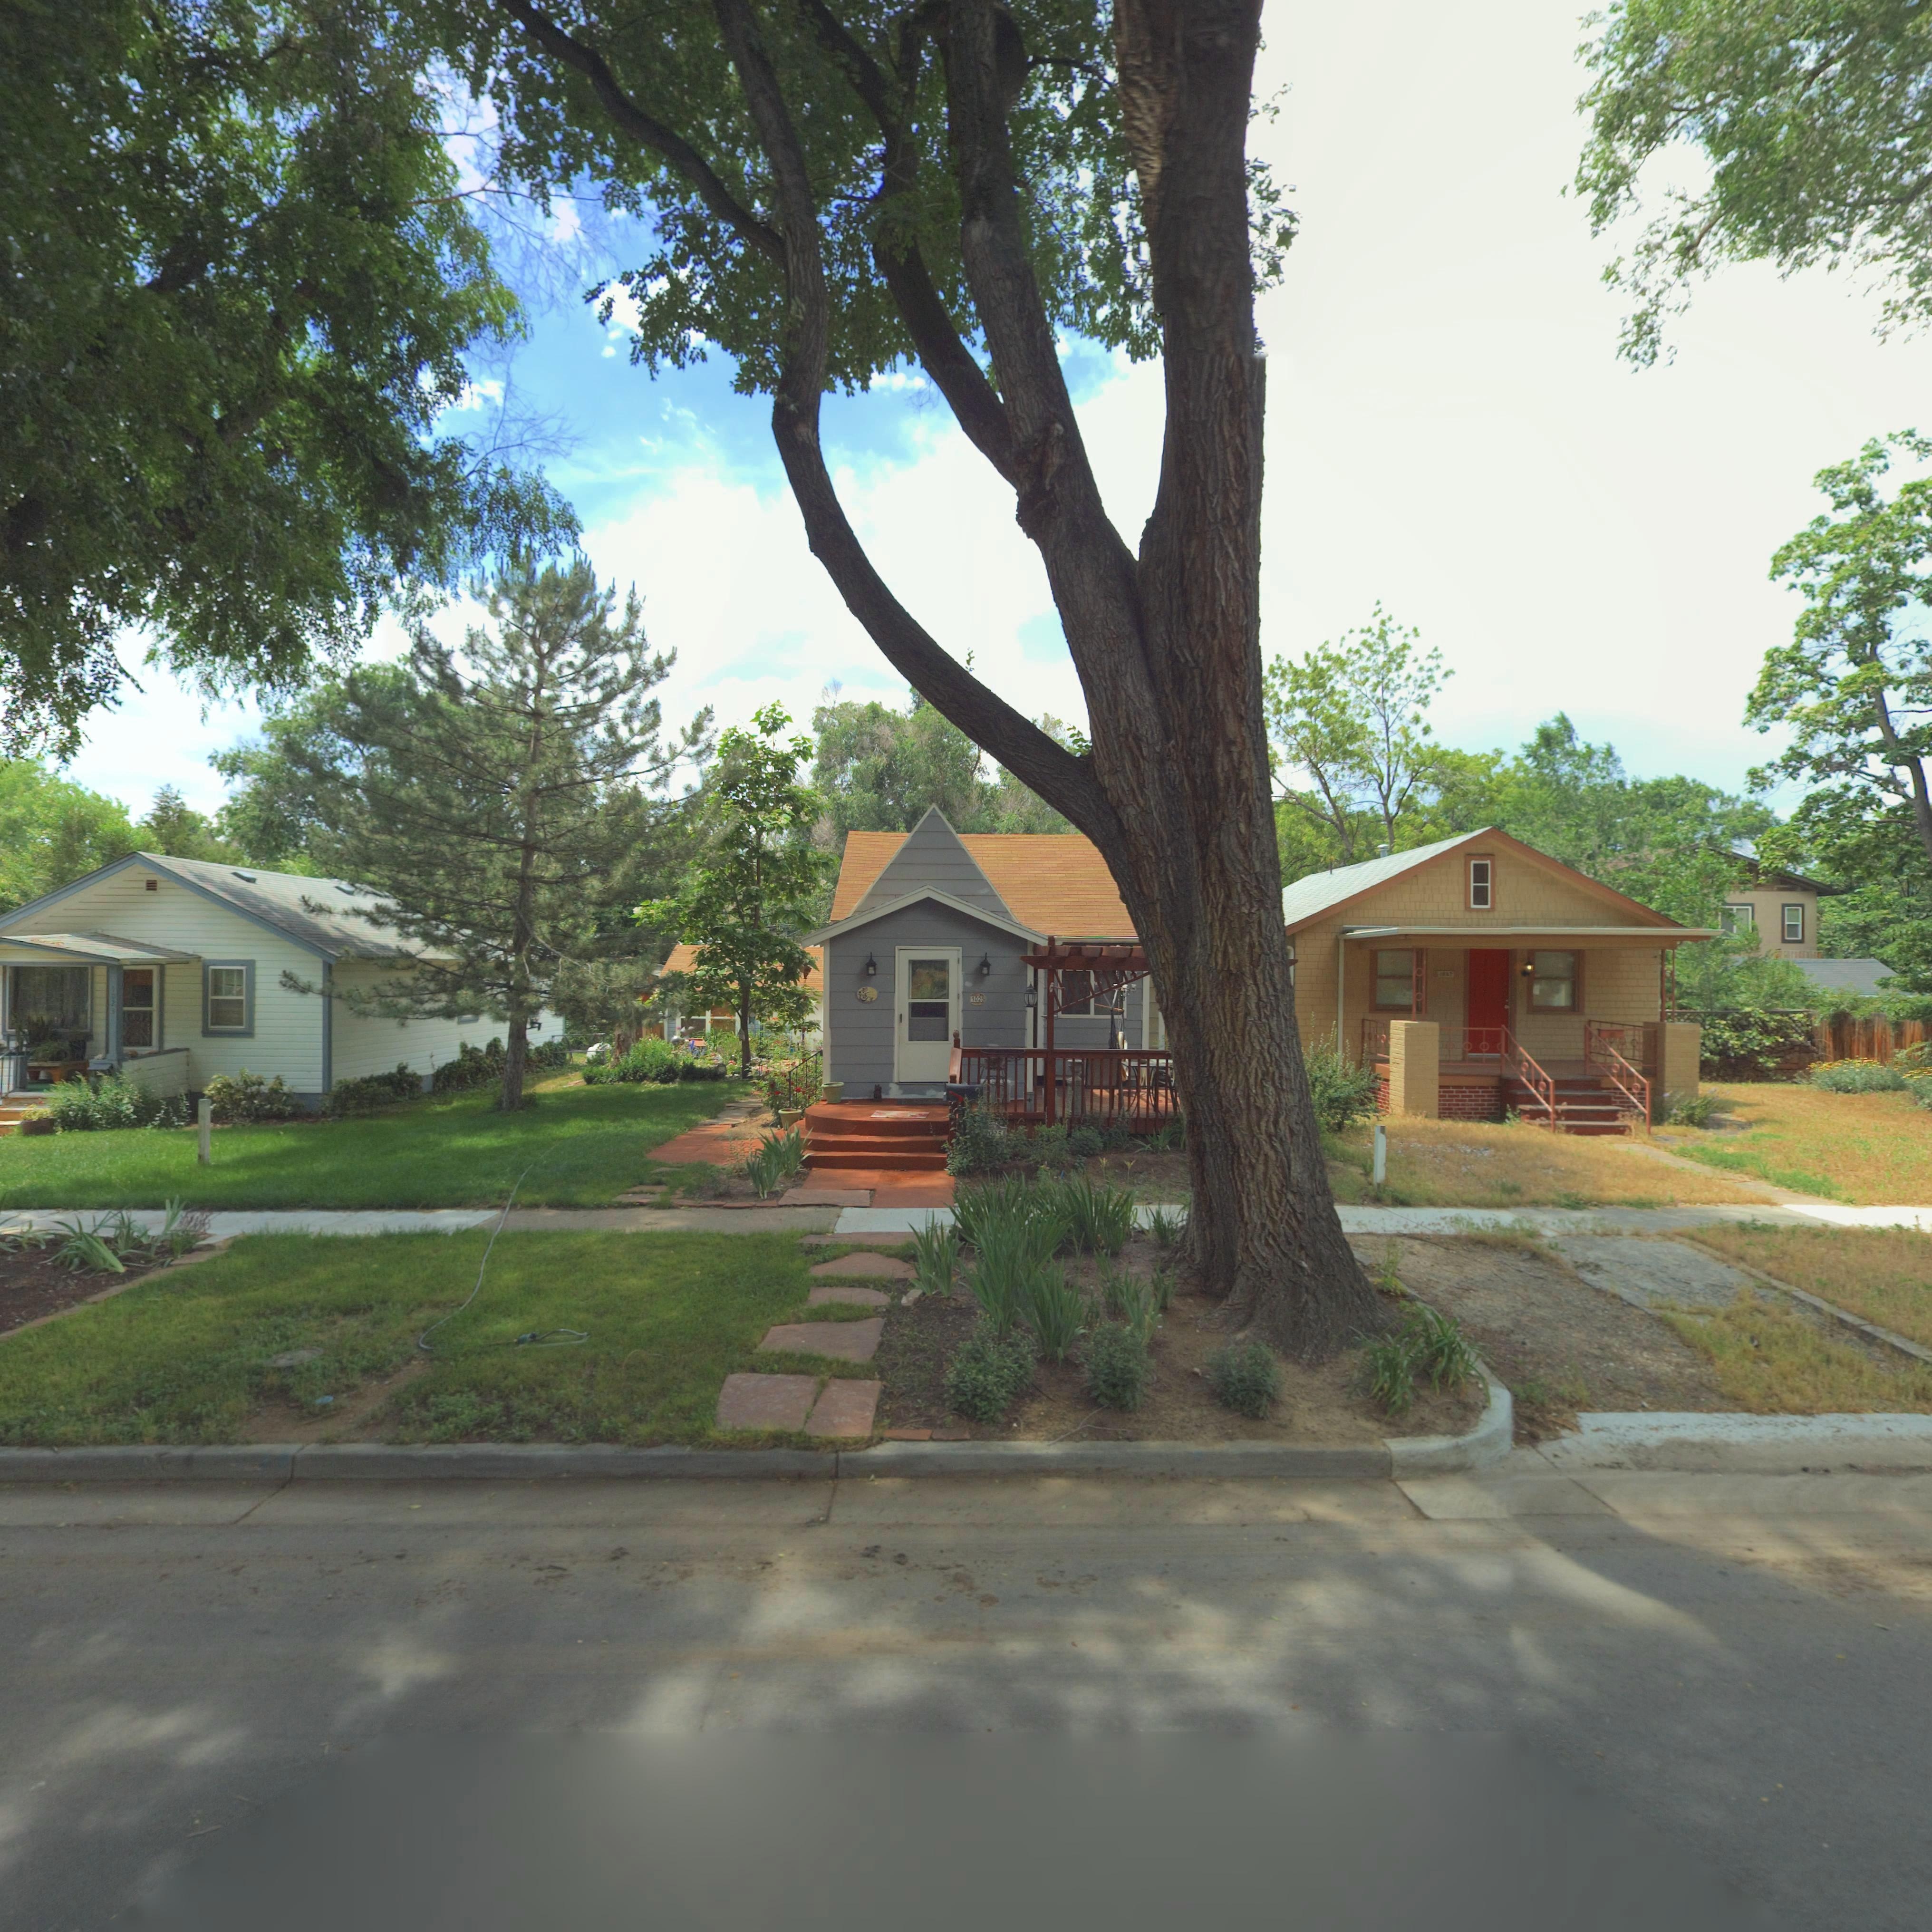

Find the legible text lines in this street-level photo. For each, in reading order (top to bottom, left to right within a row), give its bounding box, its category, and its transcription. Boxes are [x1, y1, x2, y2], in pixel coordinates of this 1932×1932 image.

[1438, 971, 1452, 977] StreetNumber: 102*
[110, 985, 116, 1015] StreetNumber: 1023
[971, 995, 985, 1002] StreetNumber: 1025